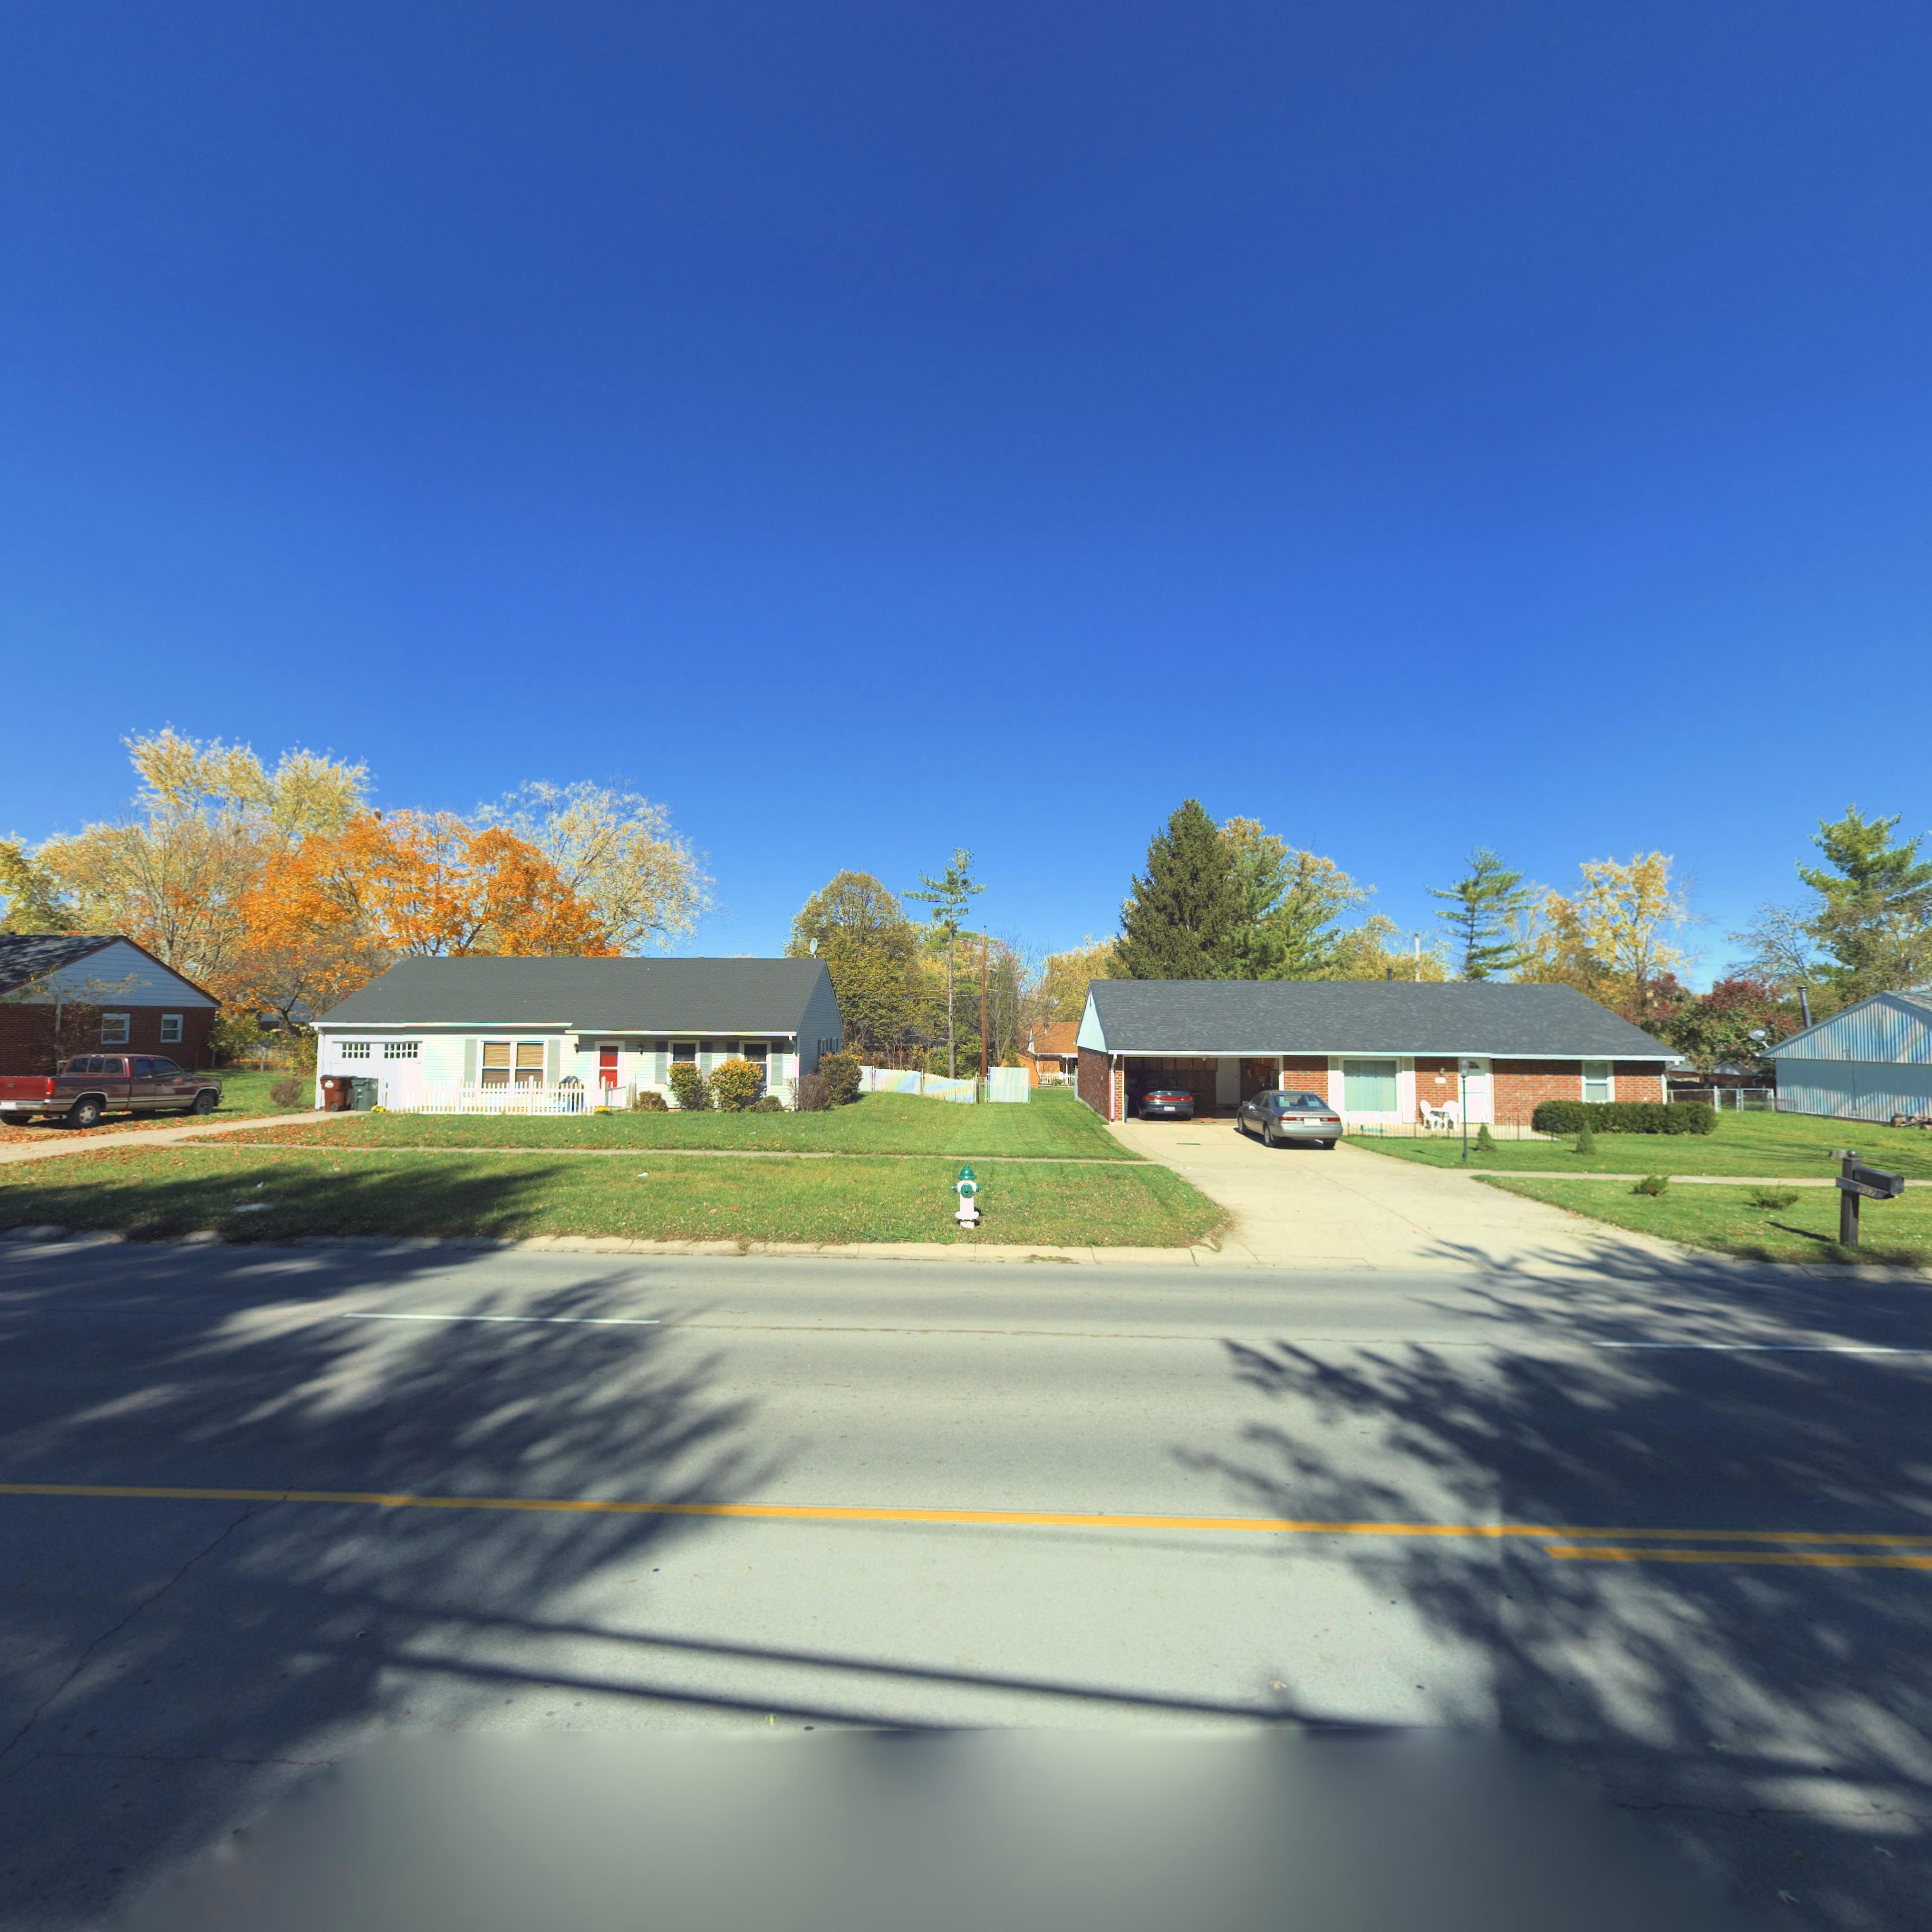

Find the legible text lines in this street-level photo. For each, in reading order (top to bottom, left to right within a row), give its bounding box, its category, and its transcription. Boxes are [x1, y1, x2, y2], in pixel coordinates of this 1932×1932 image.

[1858, 1184, 1876, 1197] StreetNumber: 507